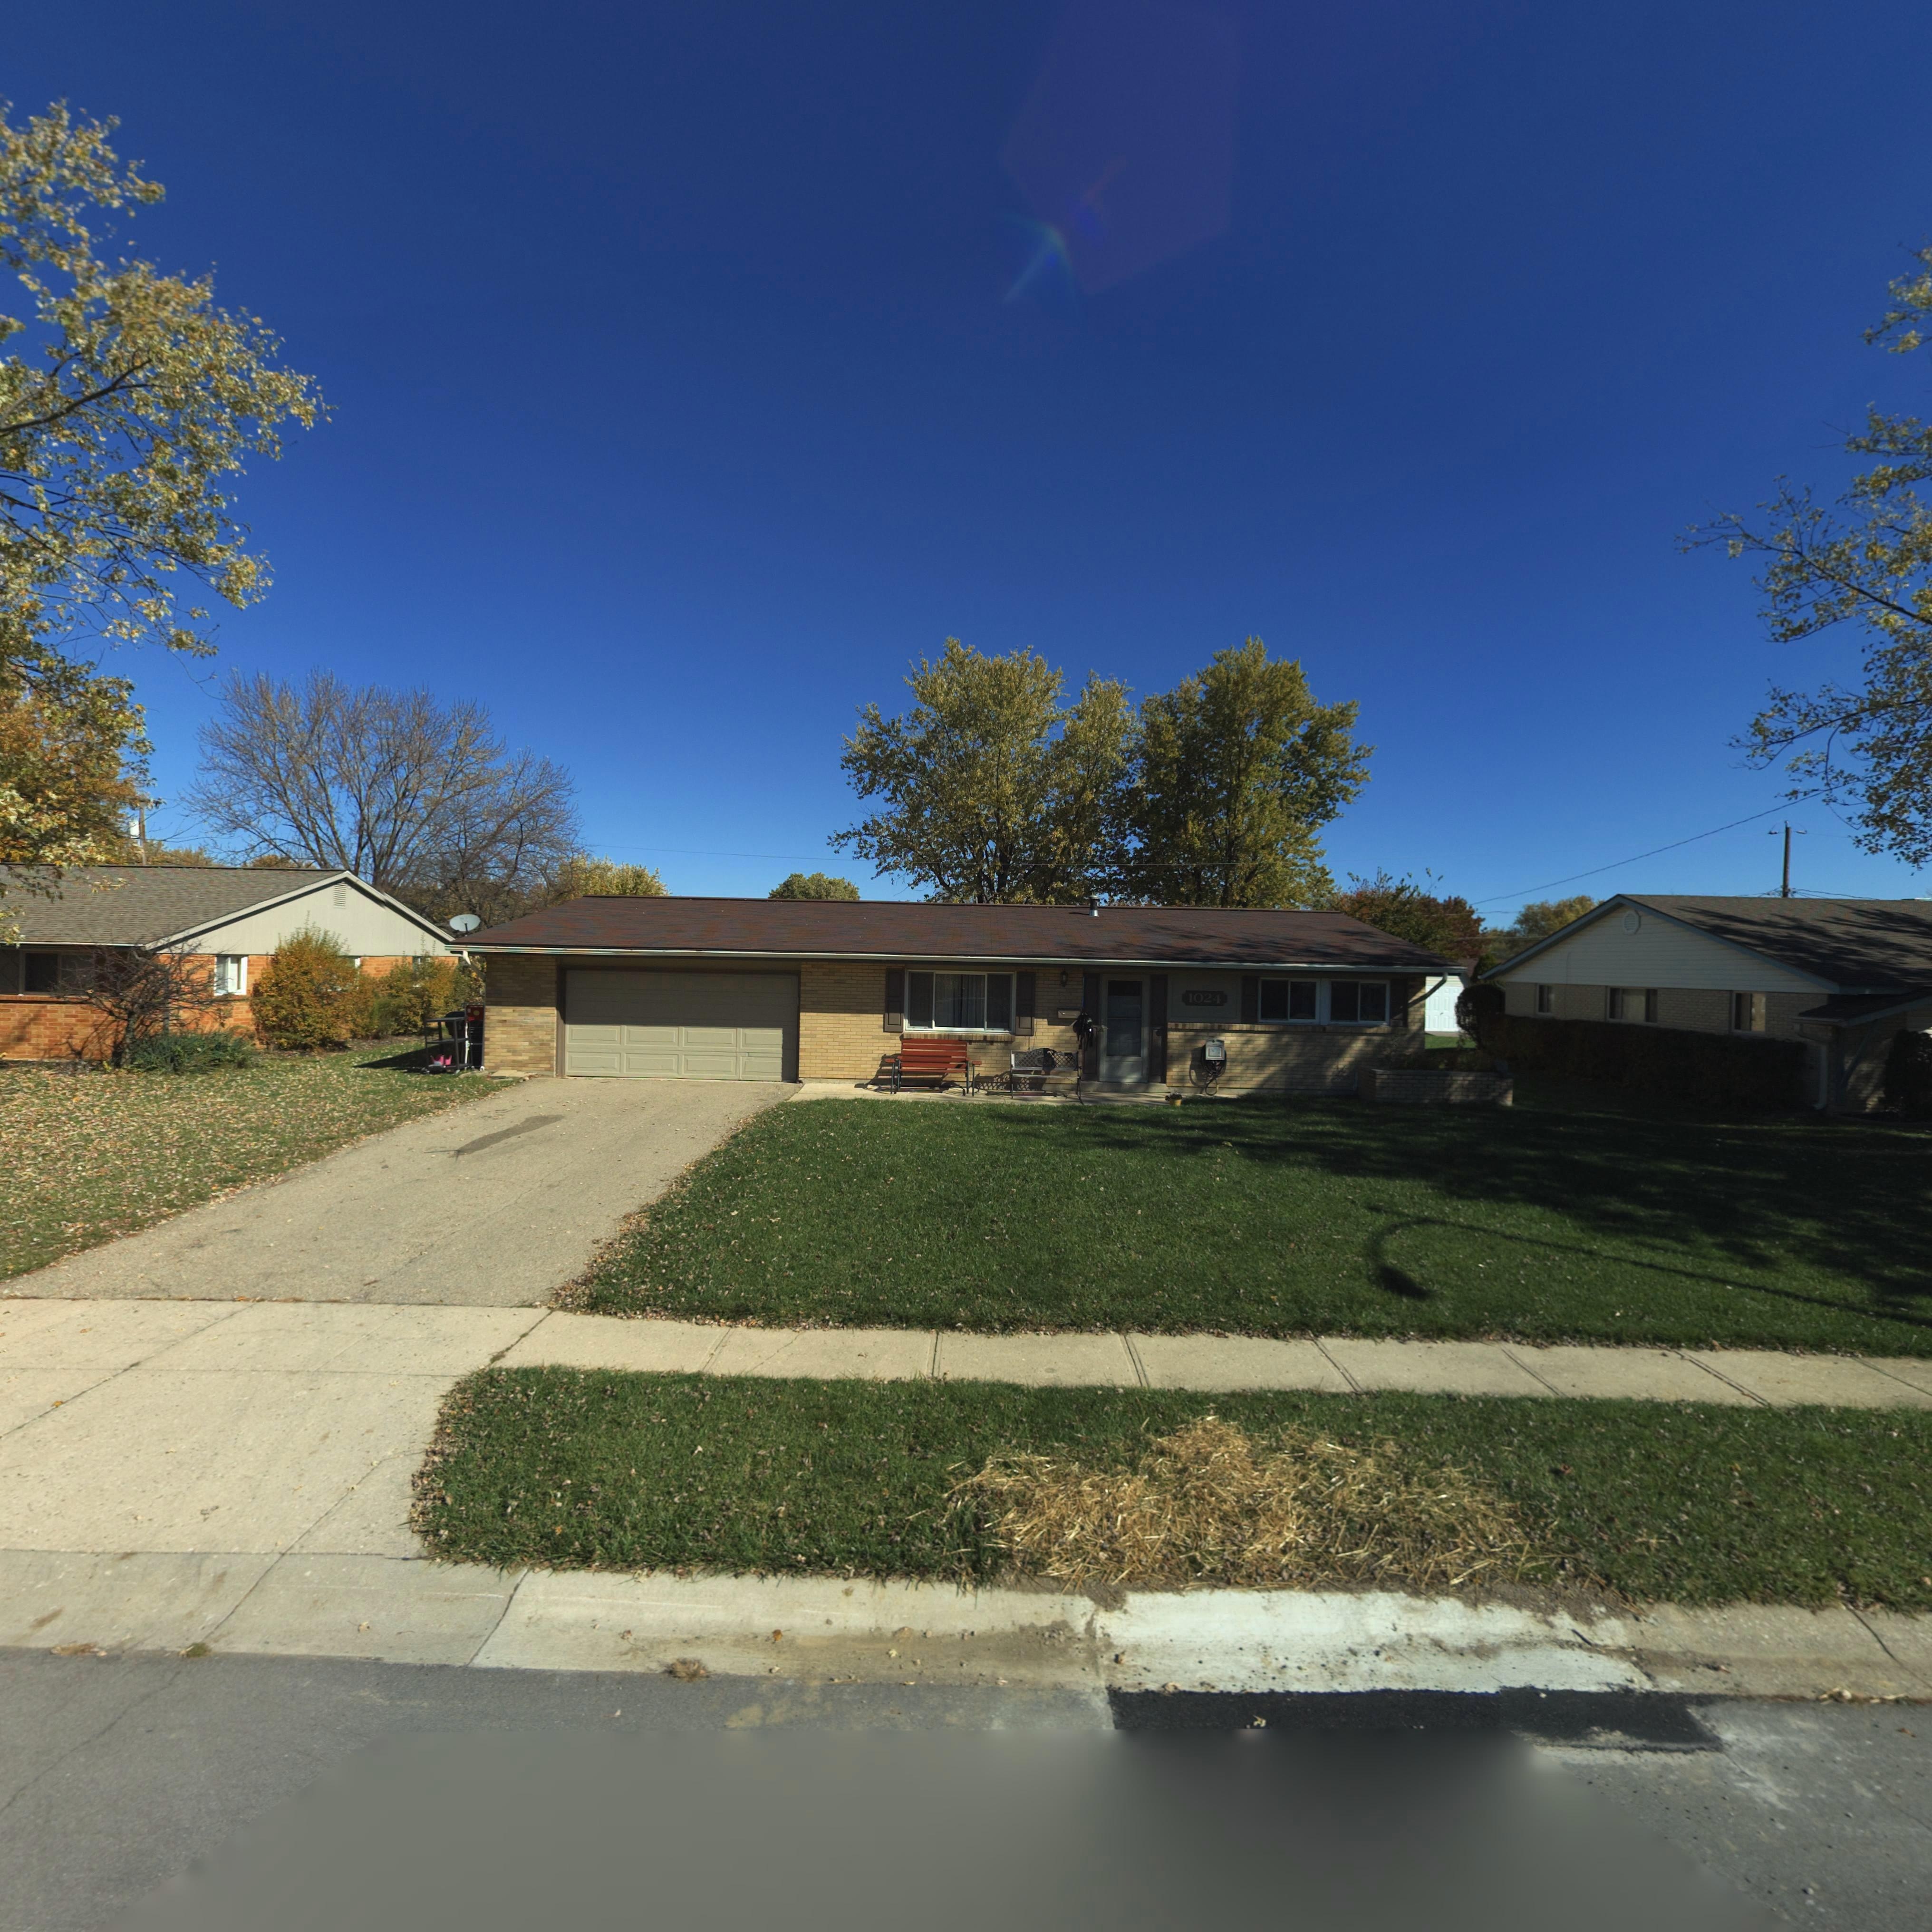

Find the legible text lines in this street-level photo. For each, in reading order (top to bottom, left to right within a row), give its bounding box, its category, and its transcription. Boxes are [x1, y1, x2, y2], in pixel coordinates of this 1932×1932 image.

[1188, 992, 1222, 1004] StreetNumber: 1024